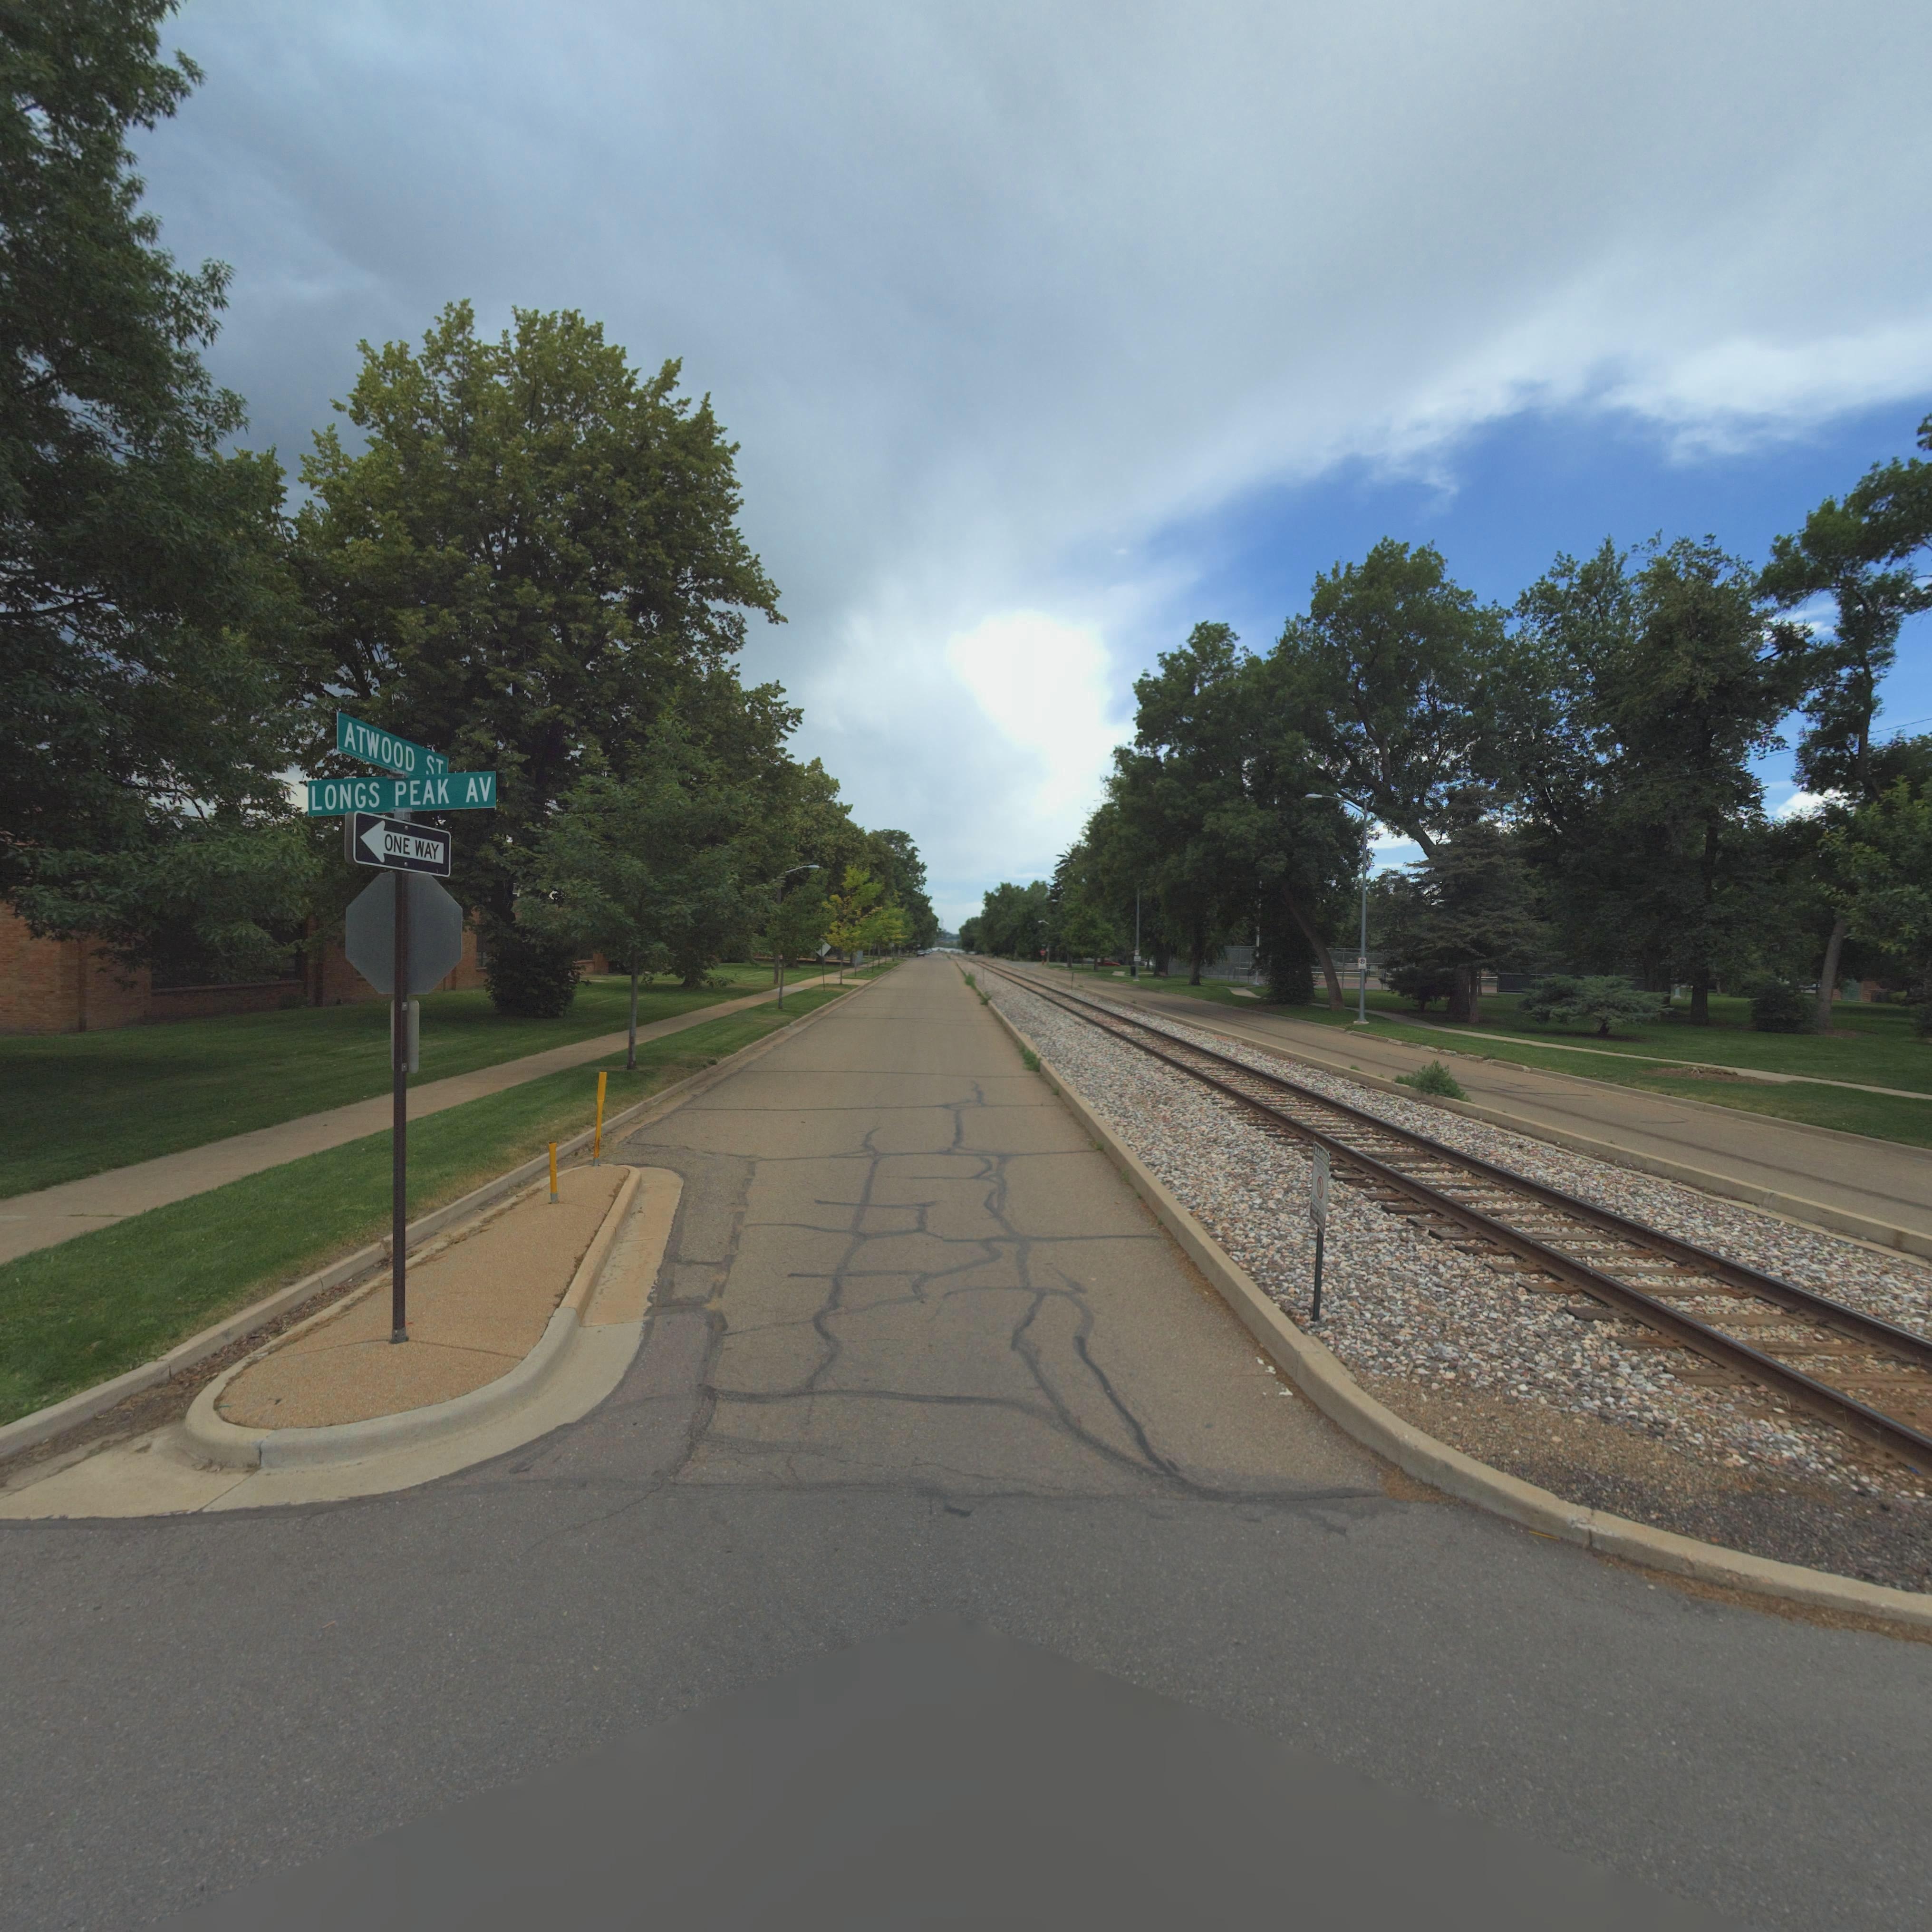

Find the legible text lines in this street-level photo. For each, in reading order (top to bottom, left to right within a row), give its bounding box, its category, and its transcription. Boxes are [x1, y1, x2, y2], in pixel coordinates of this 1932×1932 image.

[343, 721, 444, 780] StreetName: ATWOOD **
[311, 776, 492, 810] StreetName: LONGS PEAK AV